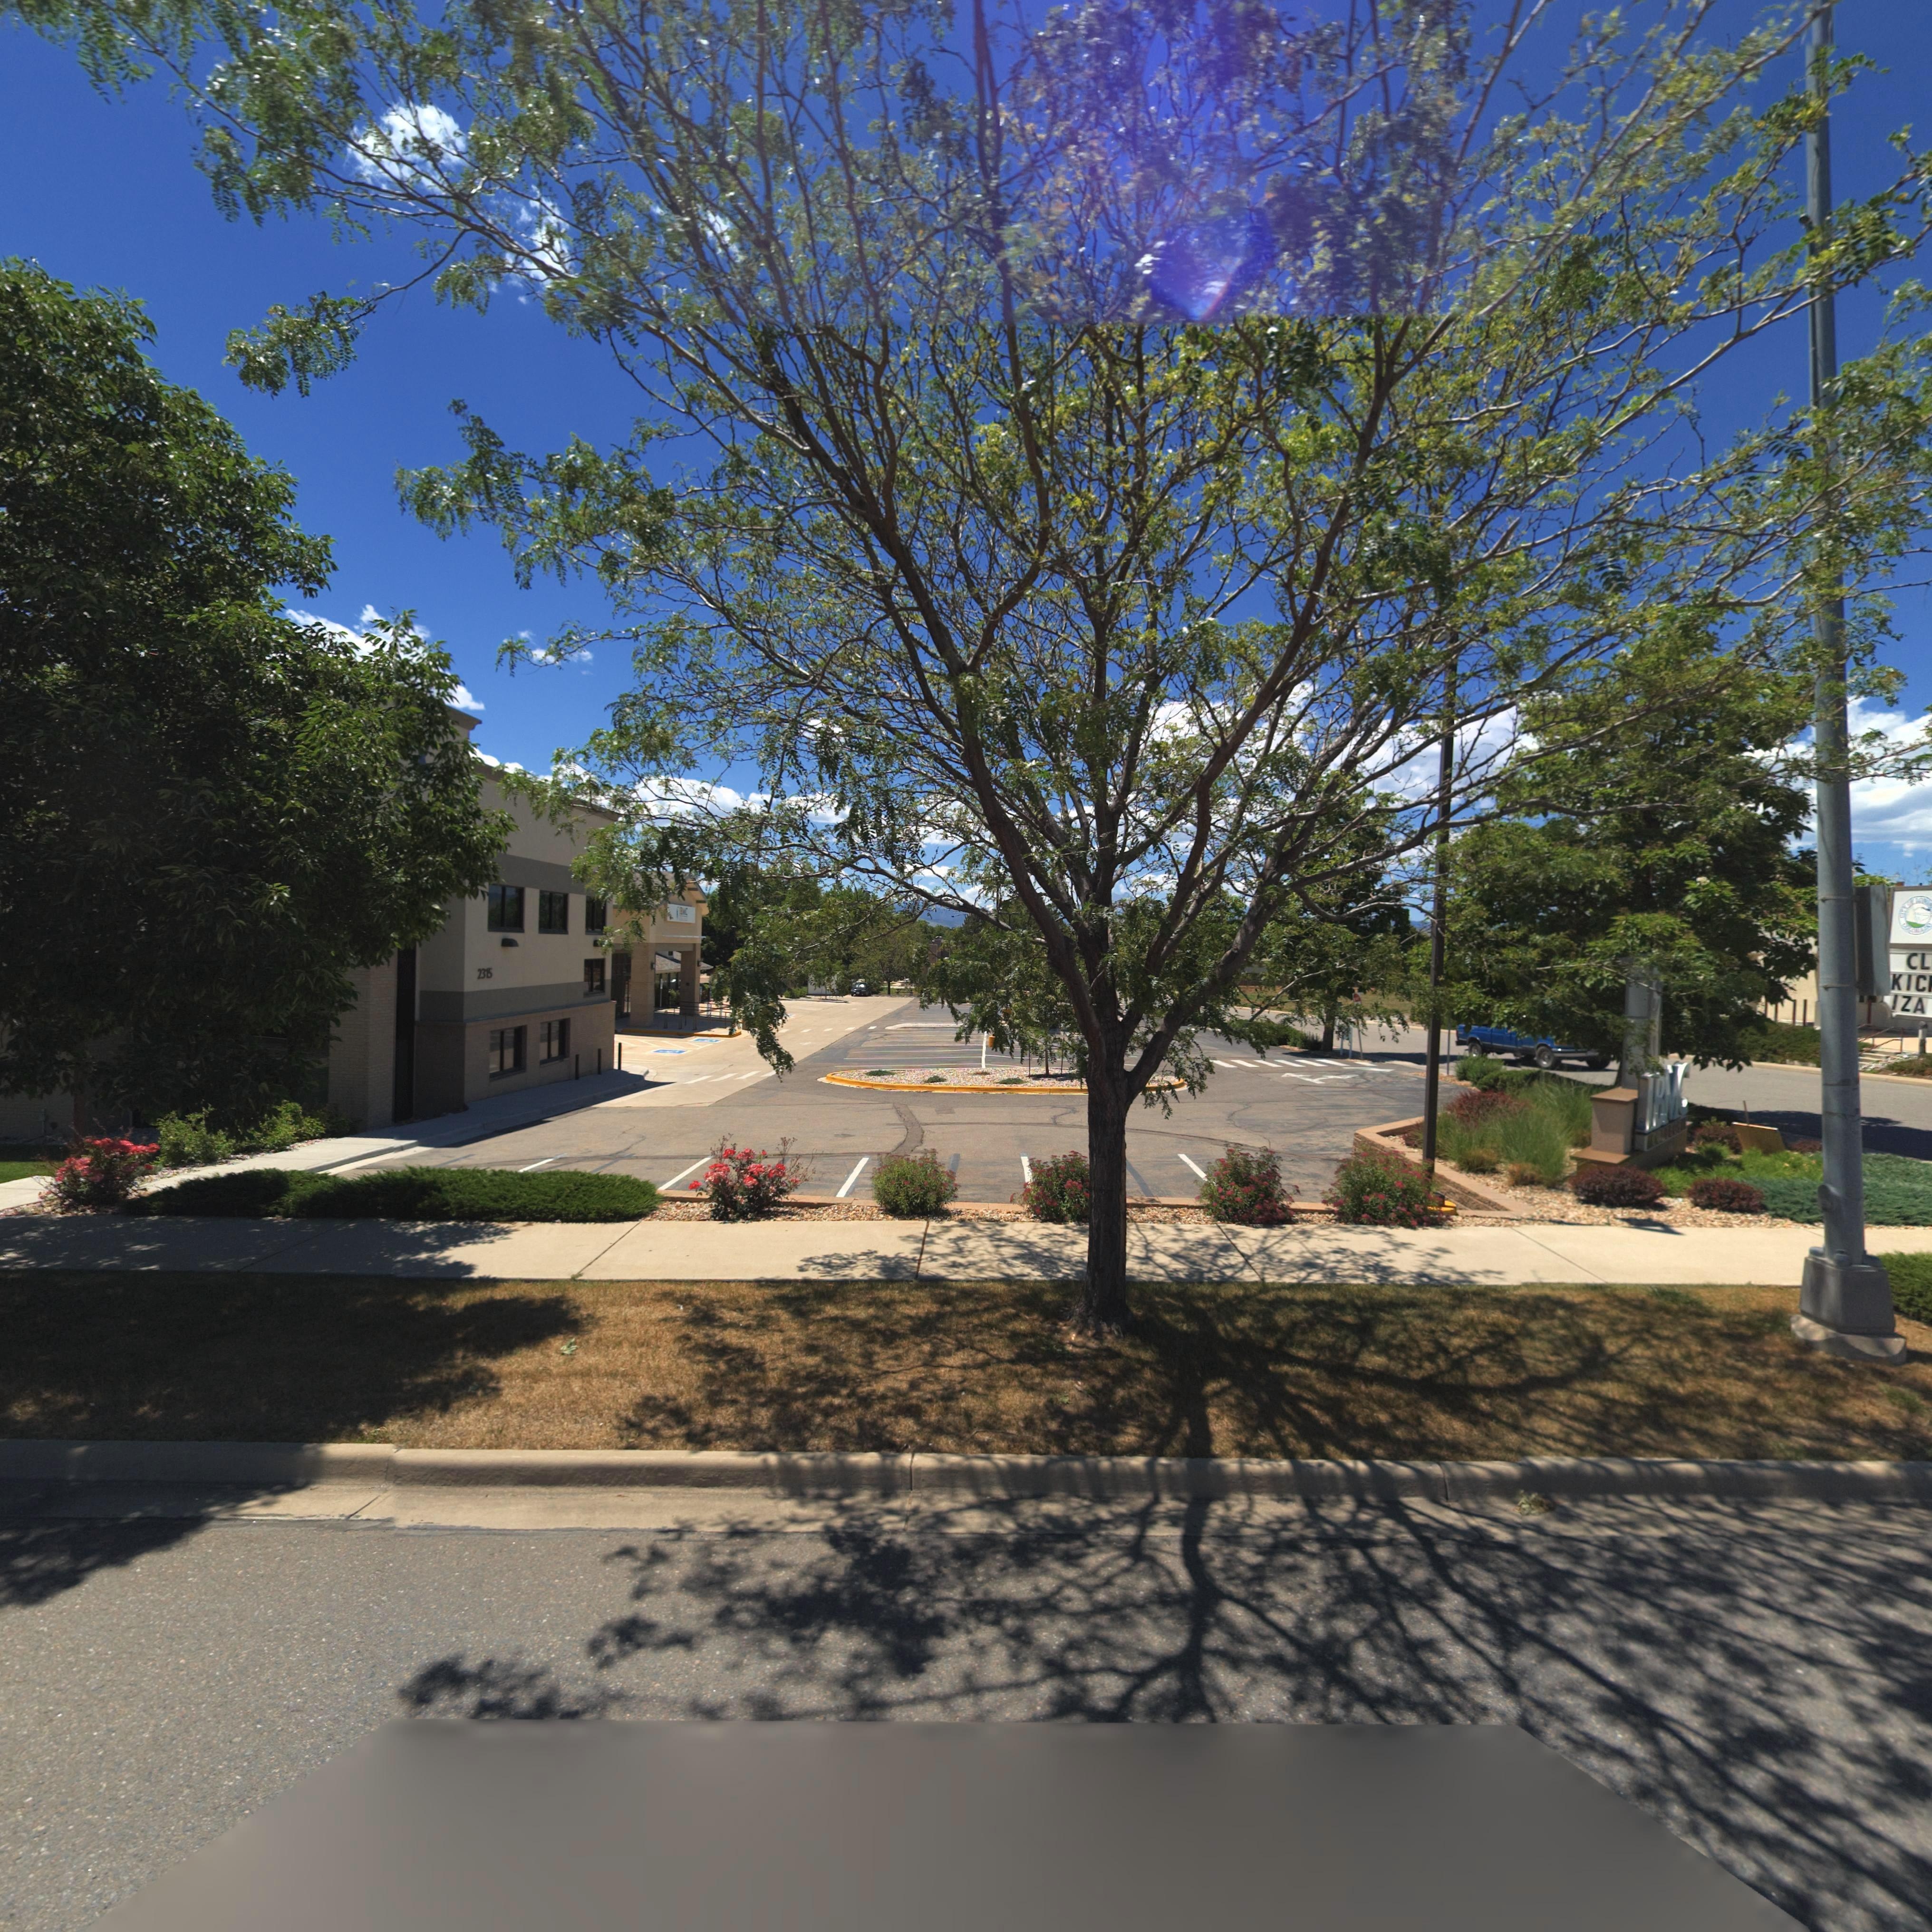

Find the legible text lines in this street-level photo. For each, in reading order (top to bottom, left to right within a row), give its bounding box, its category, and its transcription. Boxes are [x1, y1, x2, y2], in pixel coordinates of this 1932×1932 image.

[477, 967, 493, 979] StreetNumber: 2315
[1643, 1061, 1690, 1136] BusinessName: IBMC